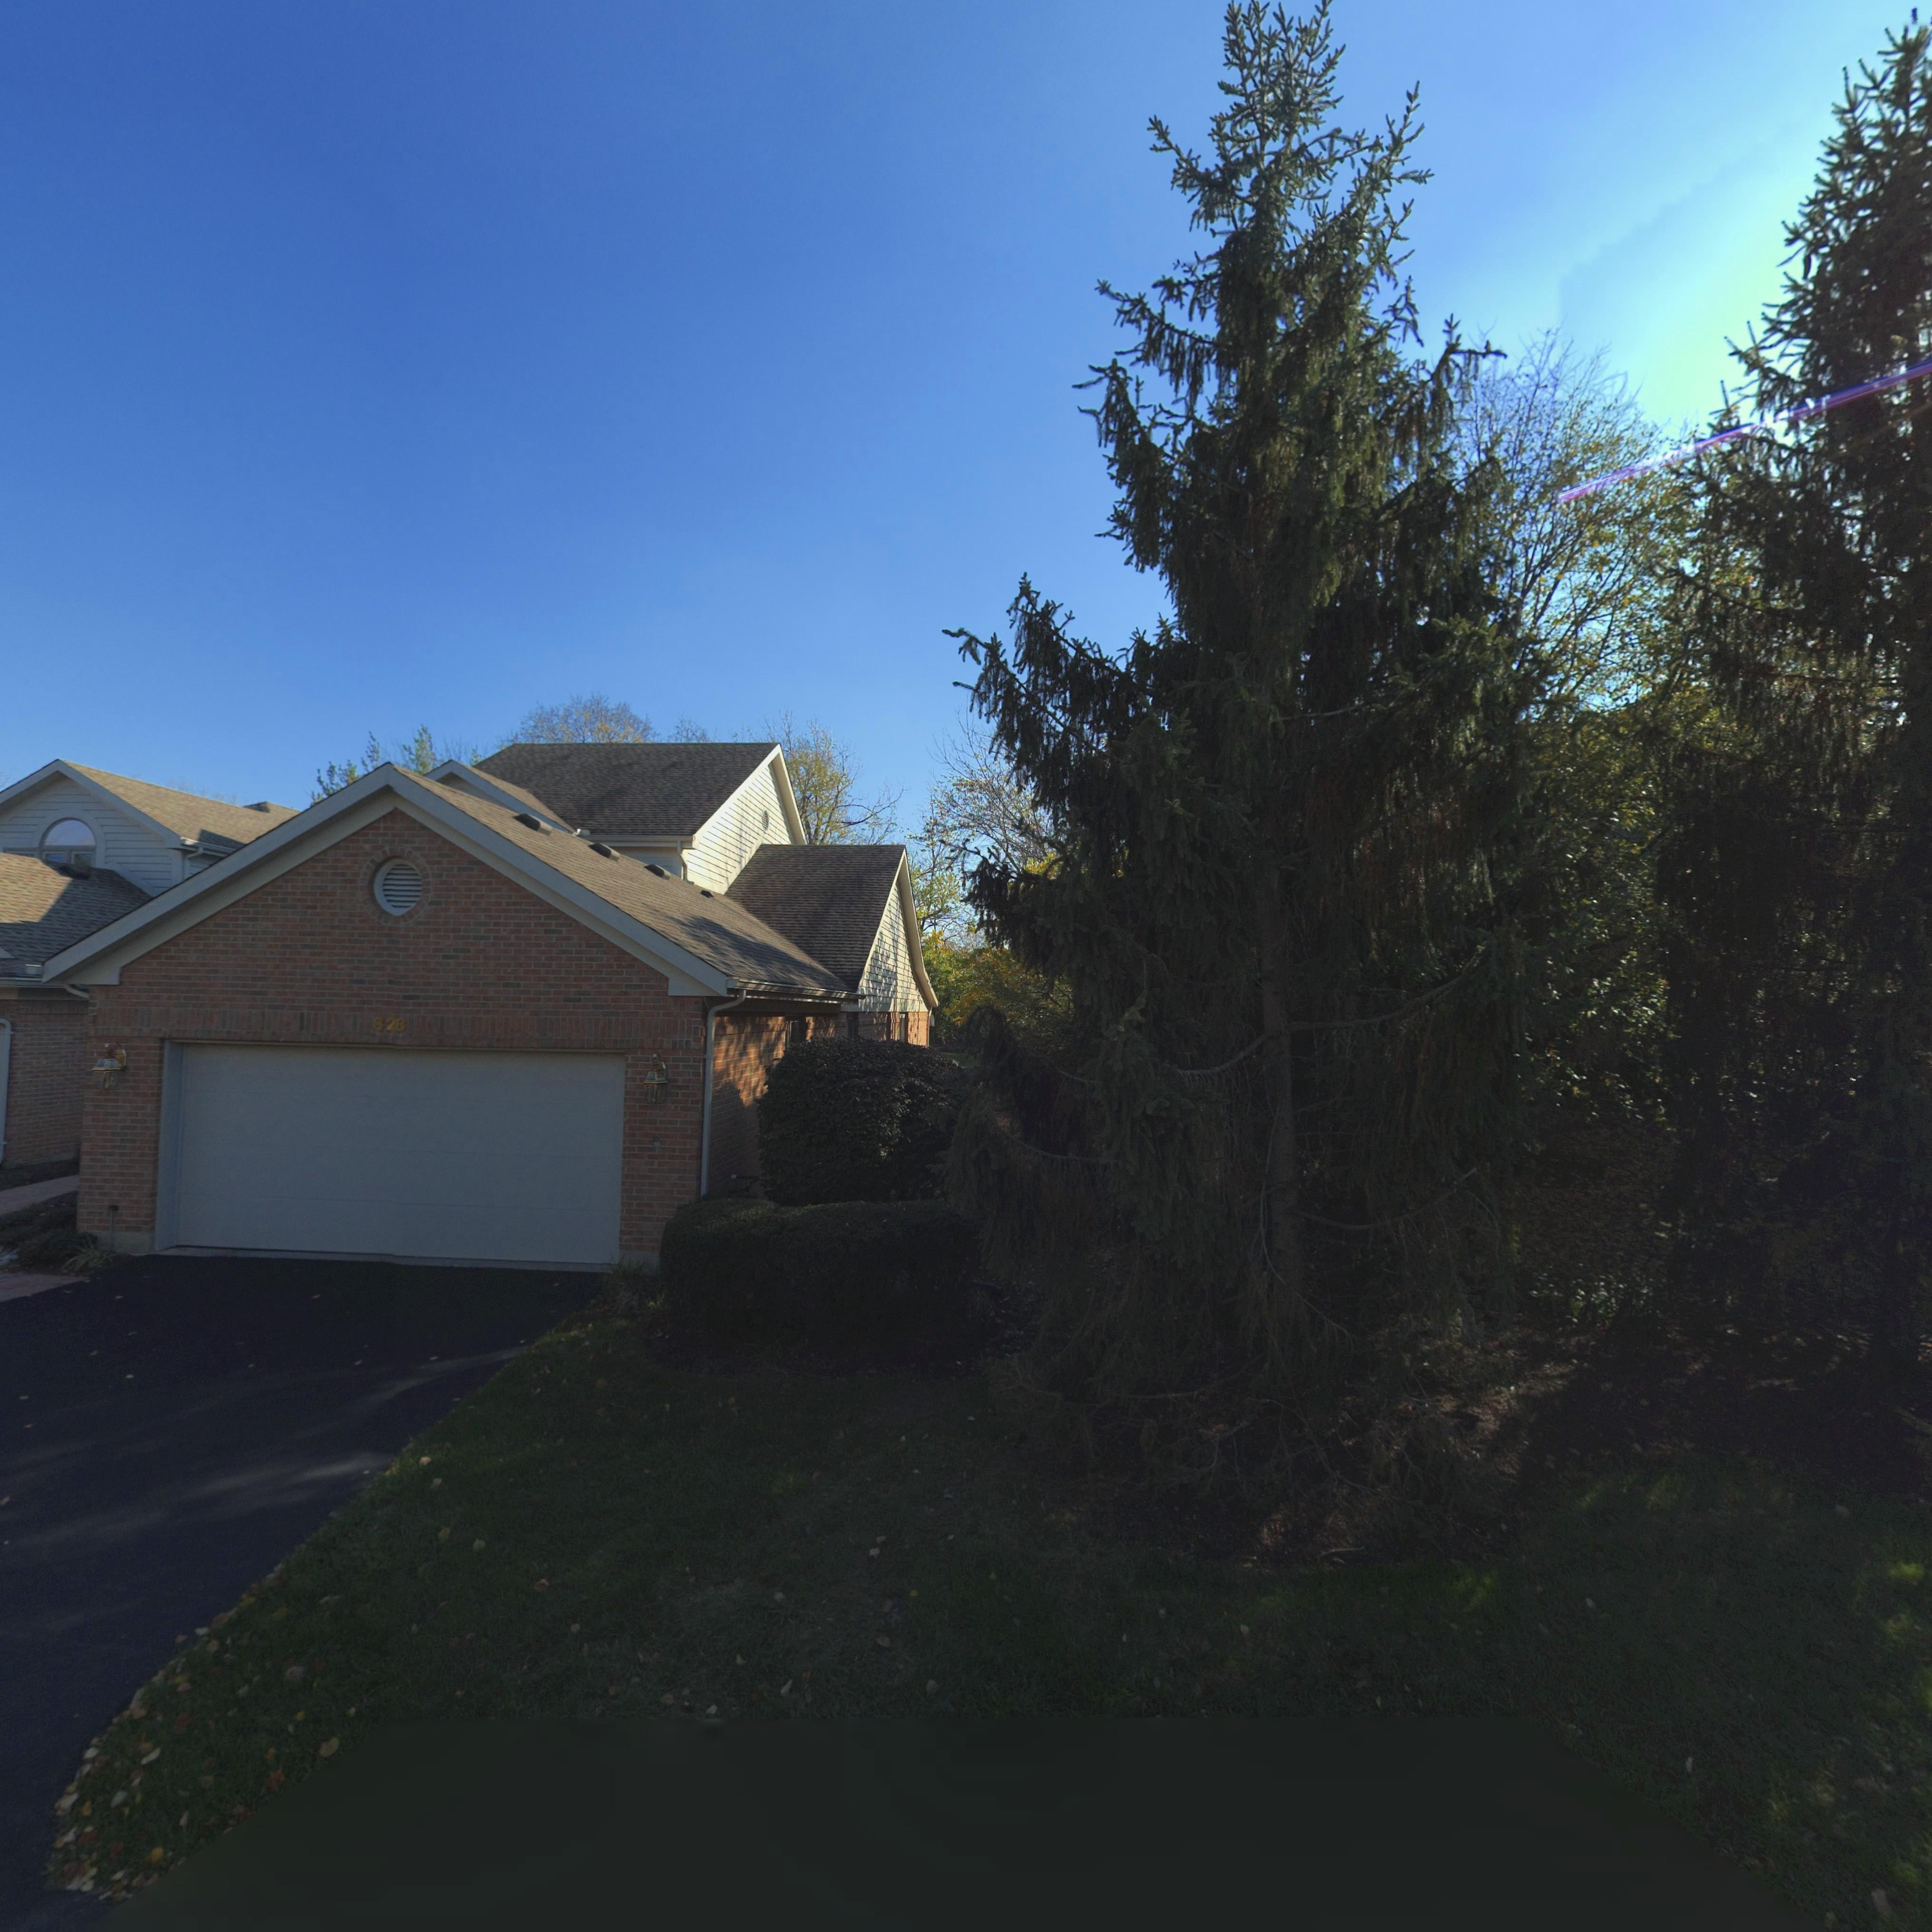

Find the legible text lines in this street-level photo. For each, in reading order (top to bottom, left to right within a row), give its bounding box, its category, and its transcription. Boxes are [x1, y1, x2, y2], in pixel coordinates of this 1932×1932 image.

[372, 1015, 406, 1033] StreetNumber: 828